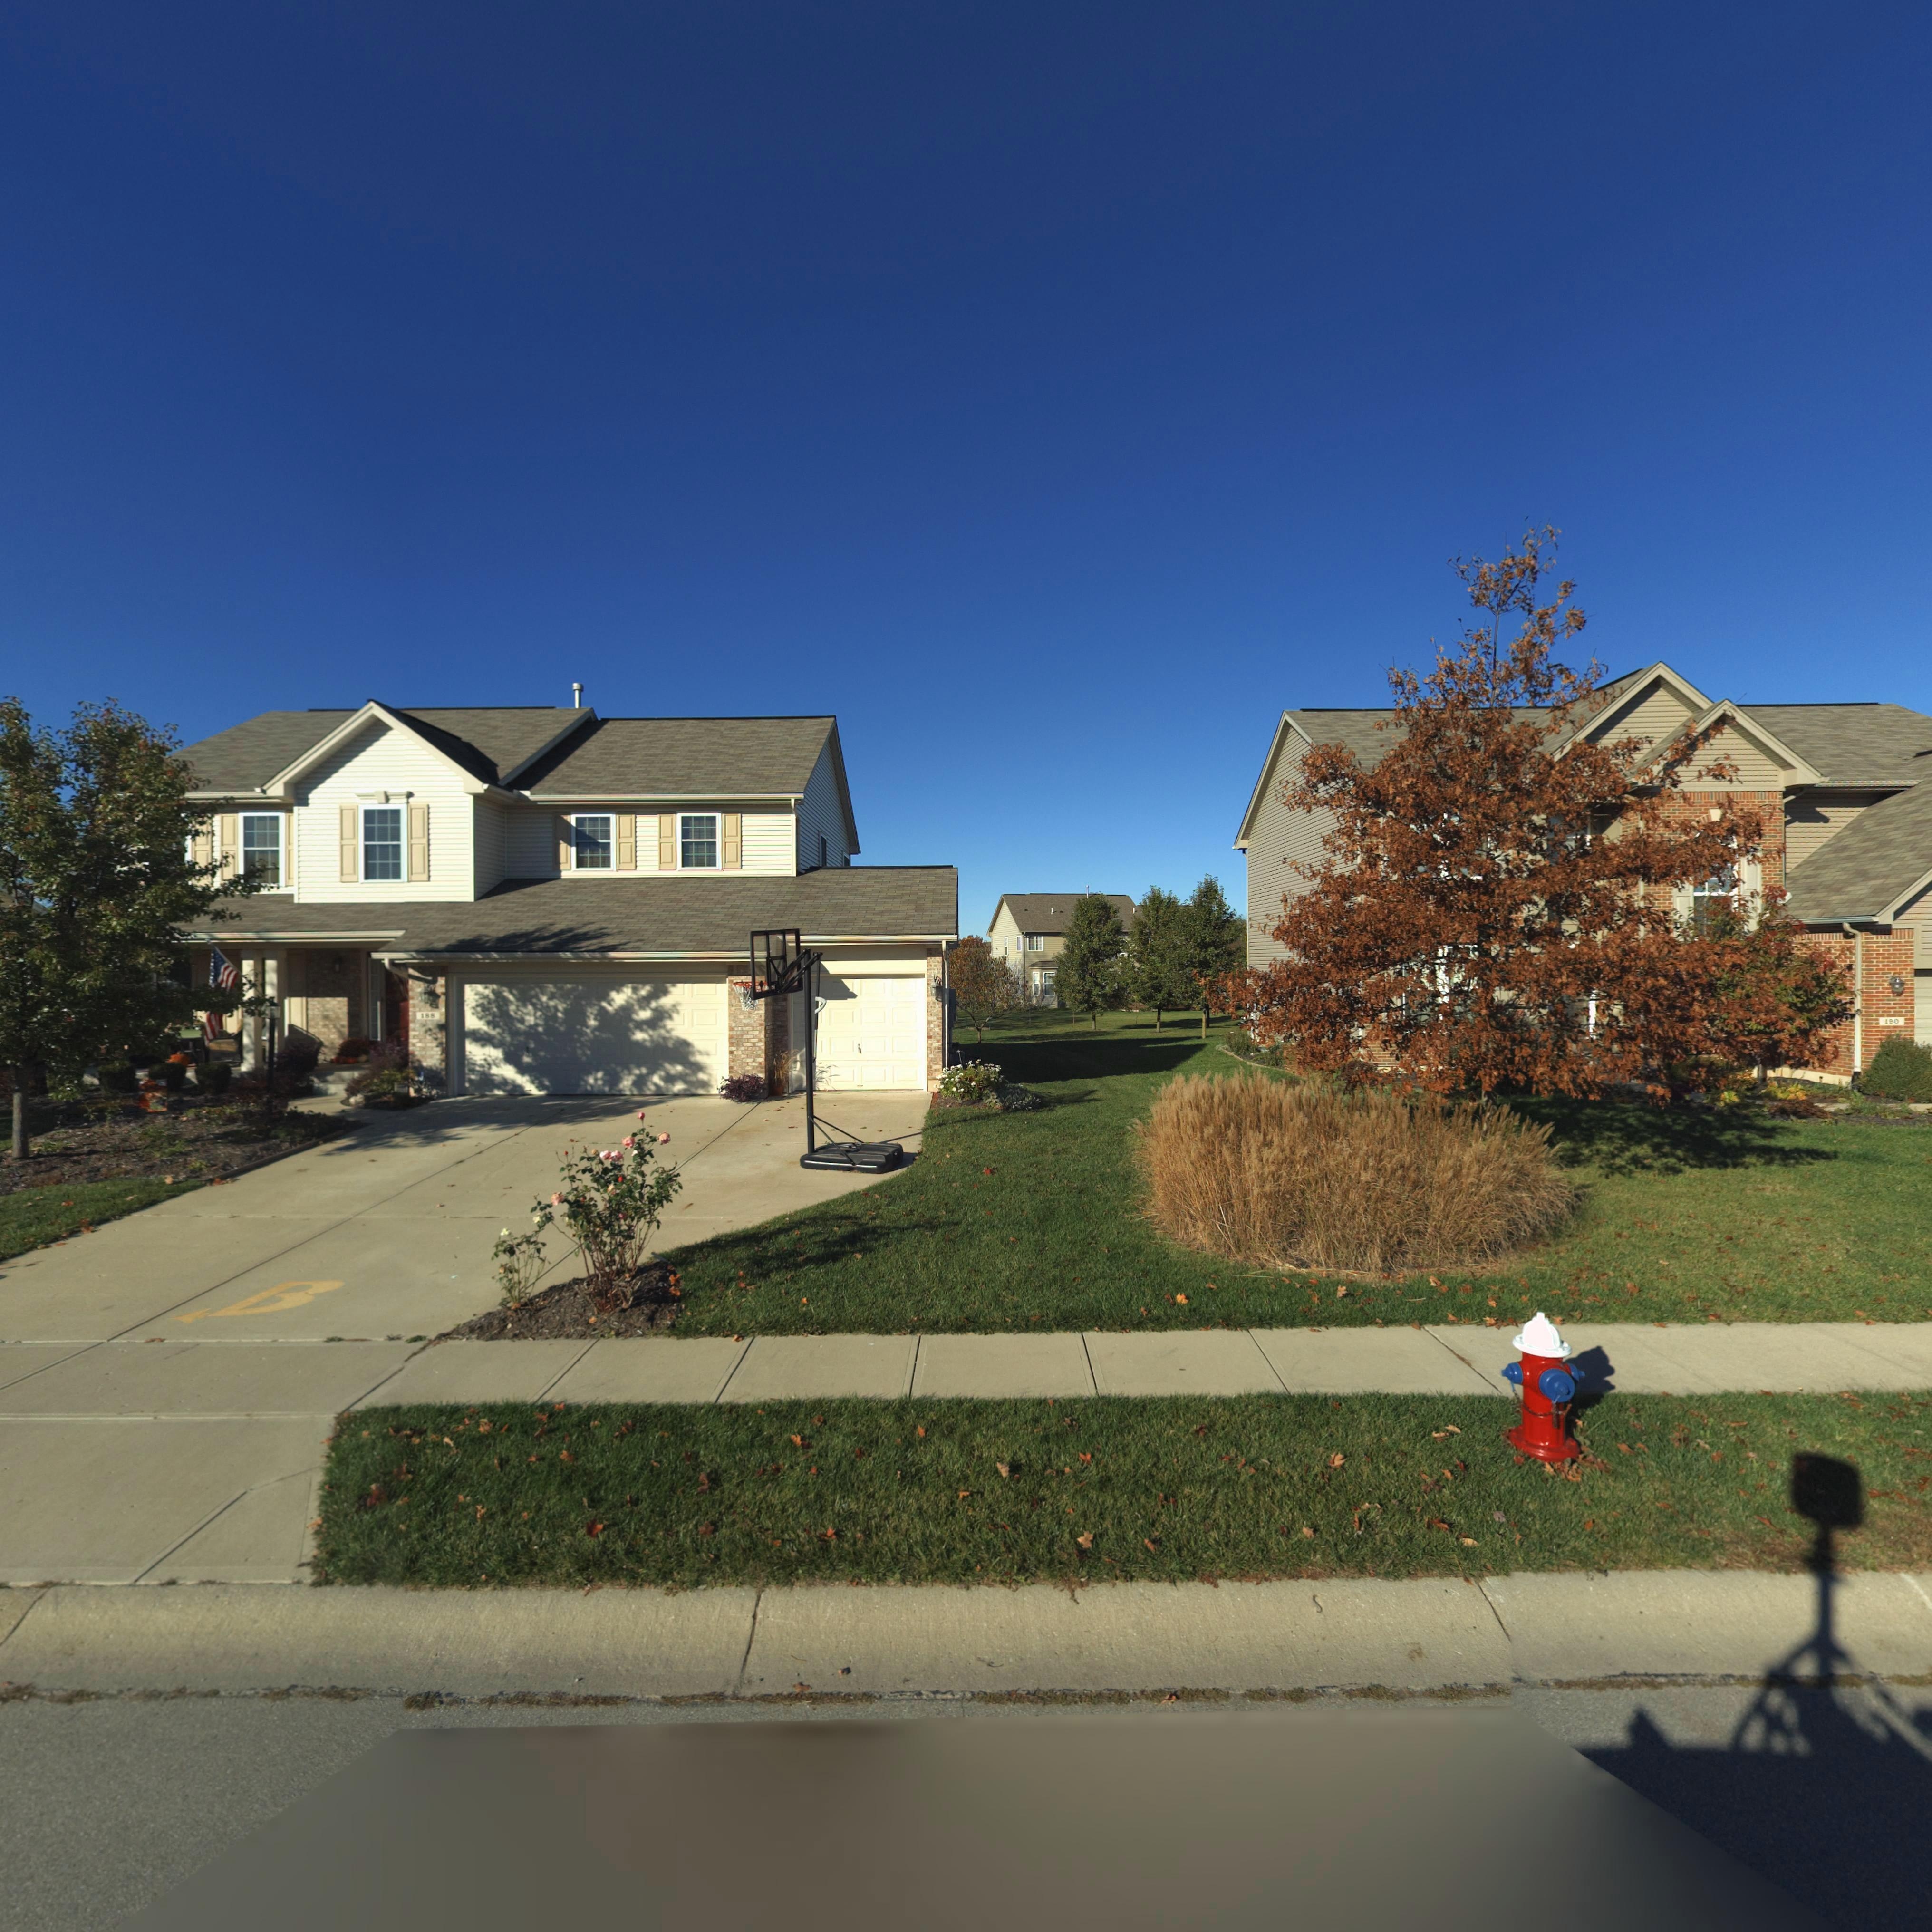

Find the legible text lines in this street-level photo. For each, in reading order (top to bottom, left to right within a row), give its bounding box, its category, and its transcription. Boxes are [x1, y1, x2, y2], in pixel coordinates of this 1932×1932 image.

[420, 1012, 436, 1020] StreetNumber: 1**
[1884, 1018, 1900, 1025] StreetNumber: 190